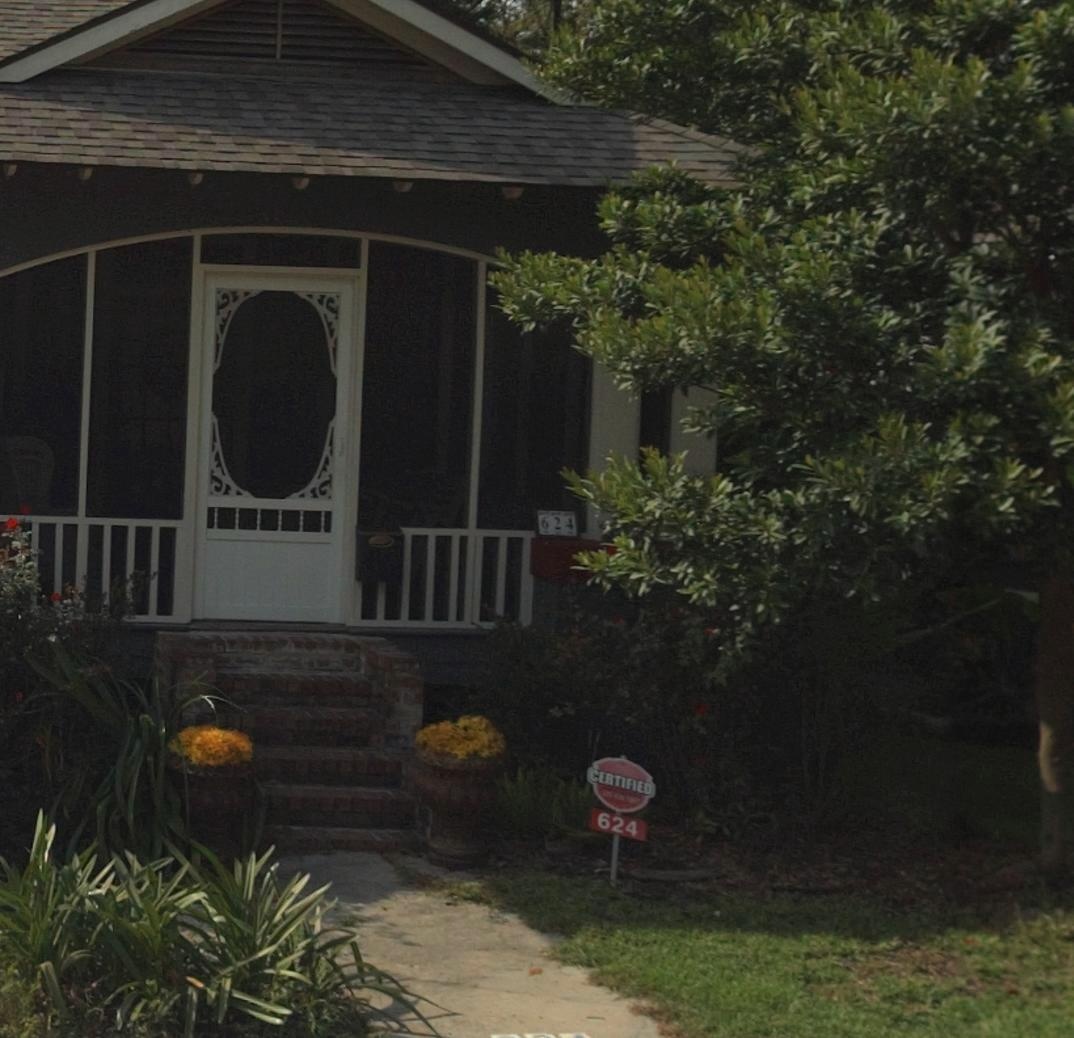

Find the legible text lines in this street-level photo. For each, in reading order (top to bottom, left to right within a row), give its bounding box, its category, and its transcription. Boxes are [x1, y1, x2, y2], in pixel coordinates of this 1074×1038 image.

[539, 511, 574, 536] StreetNumber: 624
[584, 764, 655, 800] None: CERTIFIED
[592, 809, 640, 840] StreetNumber: 624